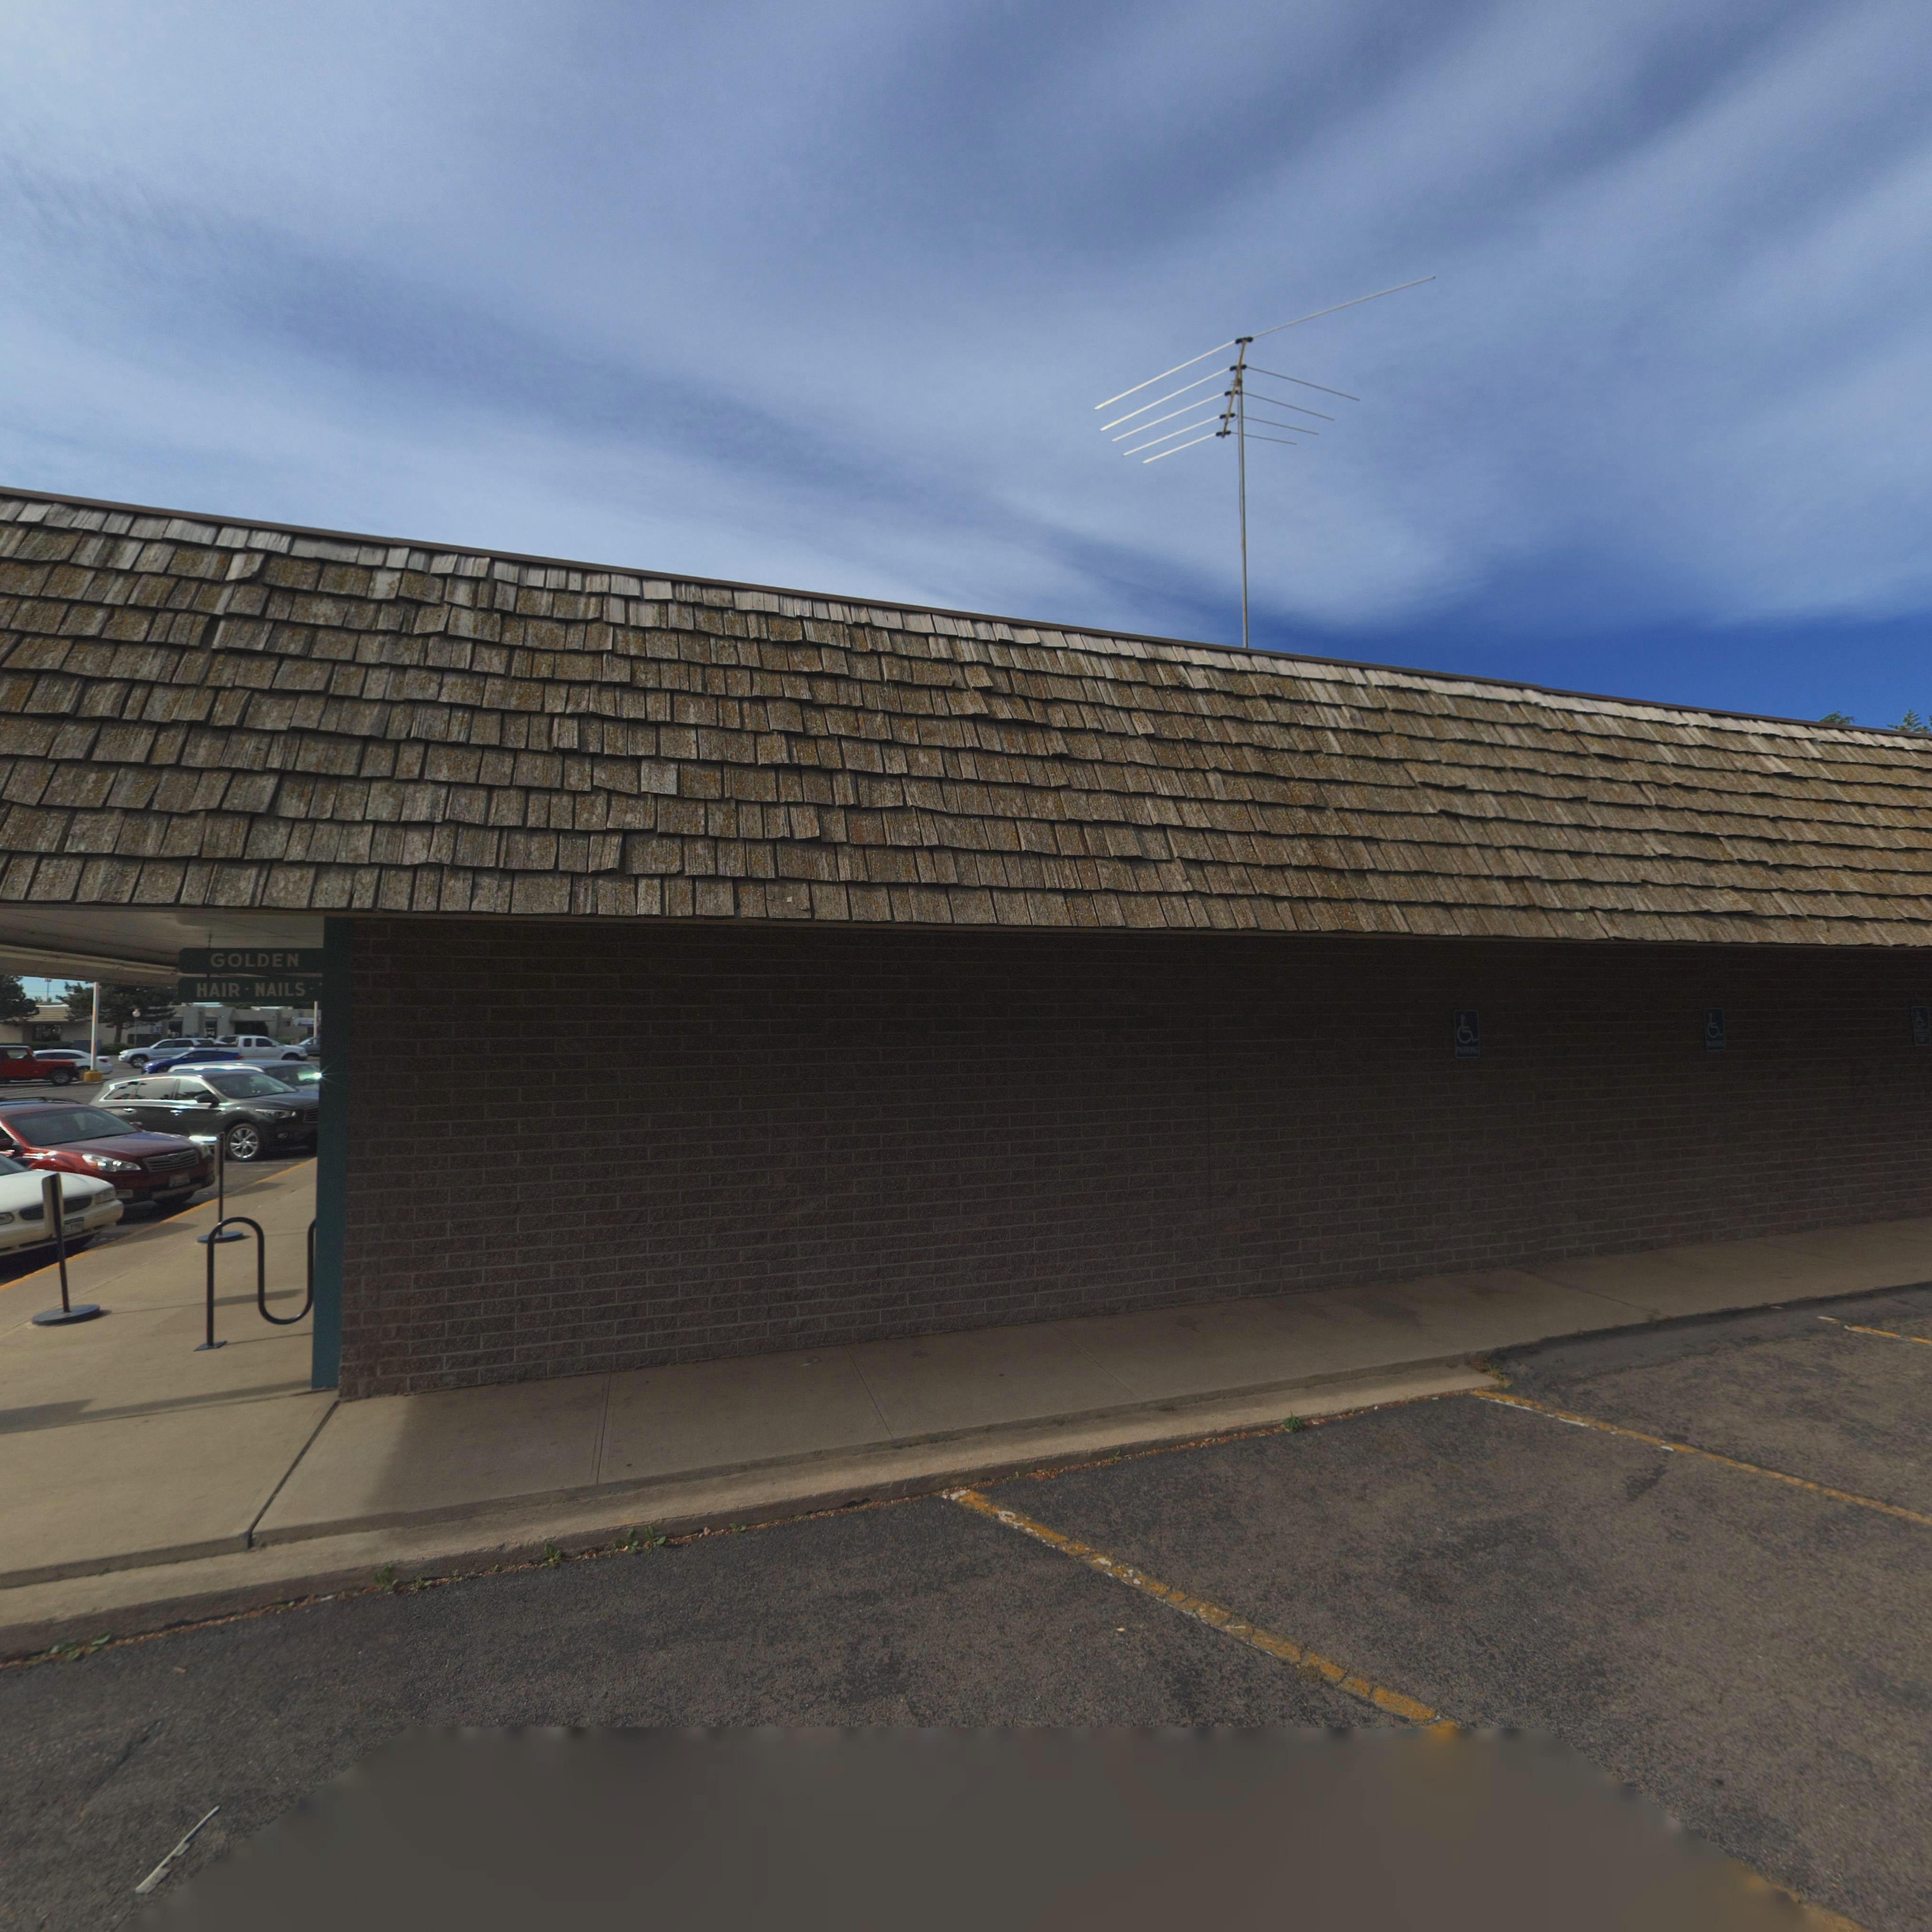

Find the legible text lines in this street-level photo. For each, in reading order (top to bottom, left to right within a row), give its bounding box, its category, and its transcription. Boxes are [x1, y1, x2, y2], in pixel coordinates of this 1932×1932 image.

[210, 951, 299, 968] BusinessName: GOLDEN